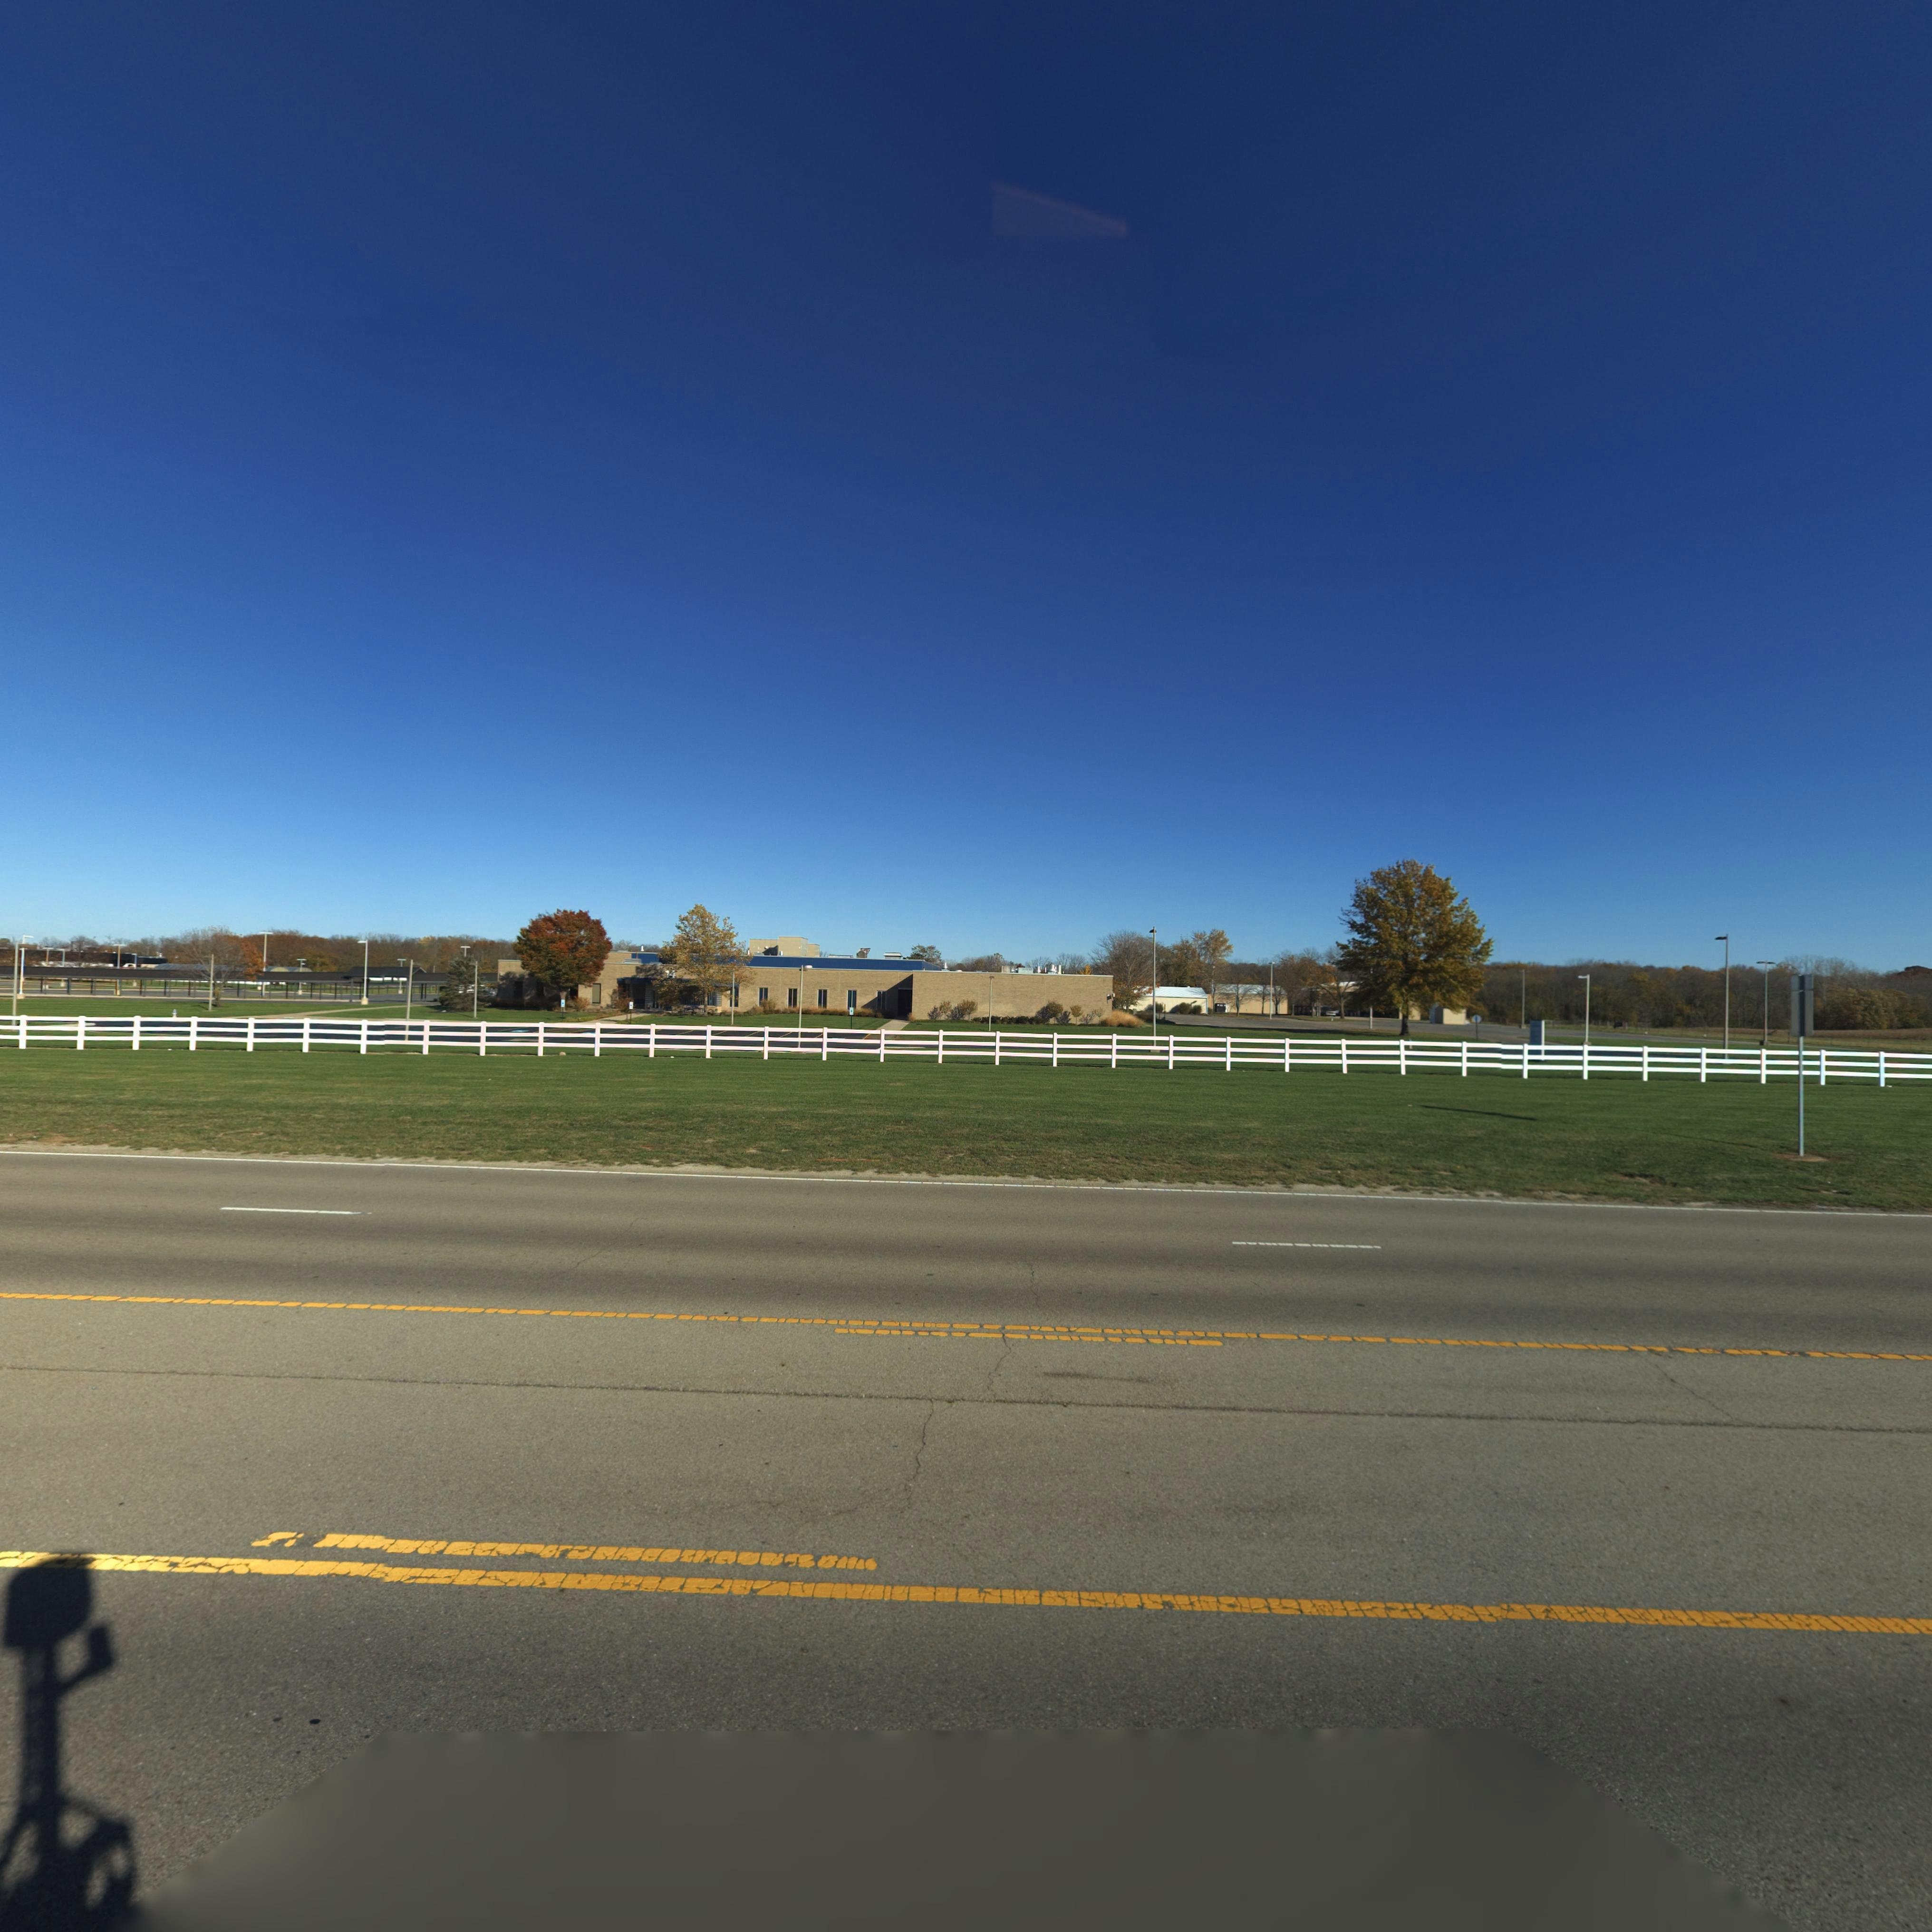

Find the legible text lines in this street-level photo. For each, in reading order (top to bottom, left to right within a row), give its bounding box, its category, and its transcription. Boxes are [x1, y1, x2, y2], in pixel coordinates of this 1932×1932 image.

[665, 969, 676, 978] StreetNumber: 14